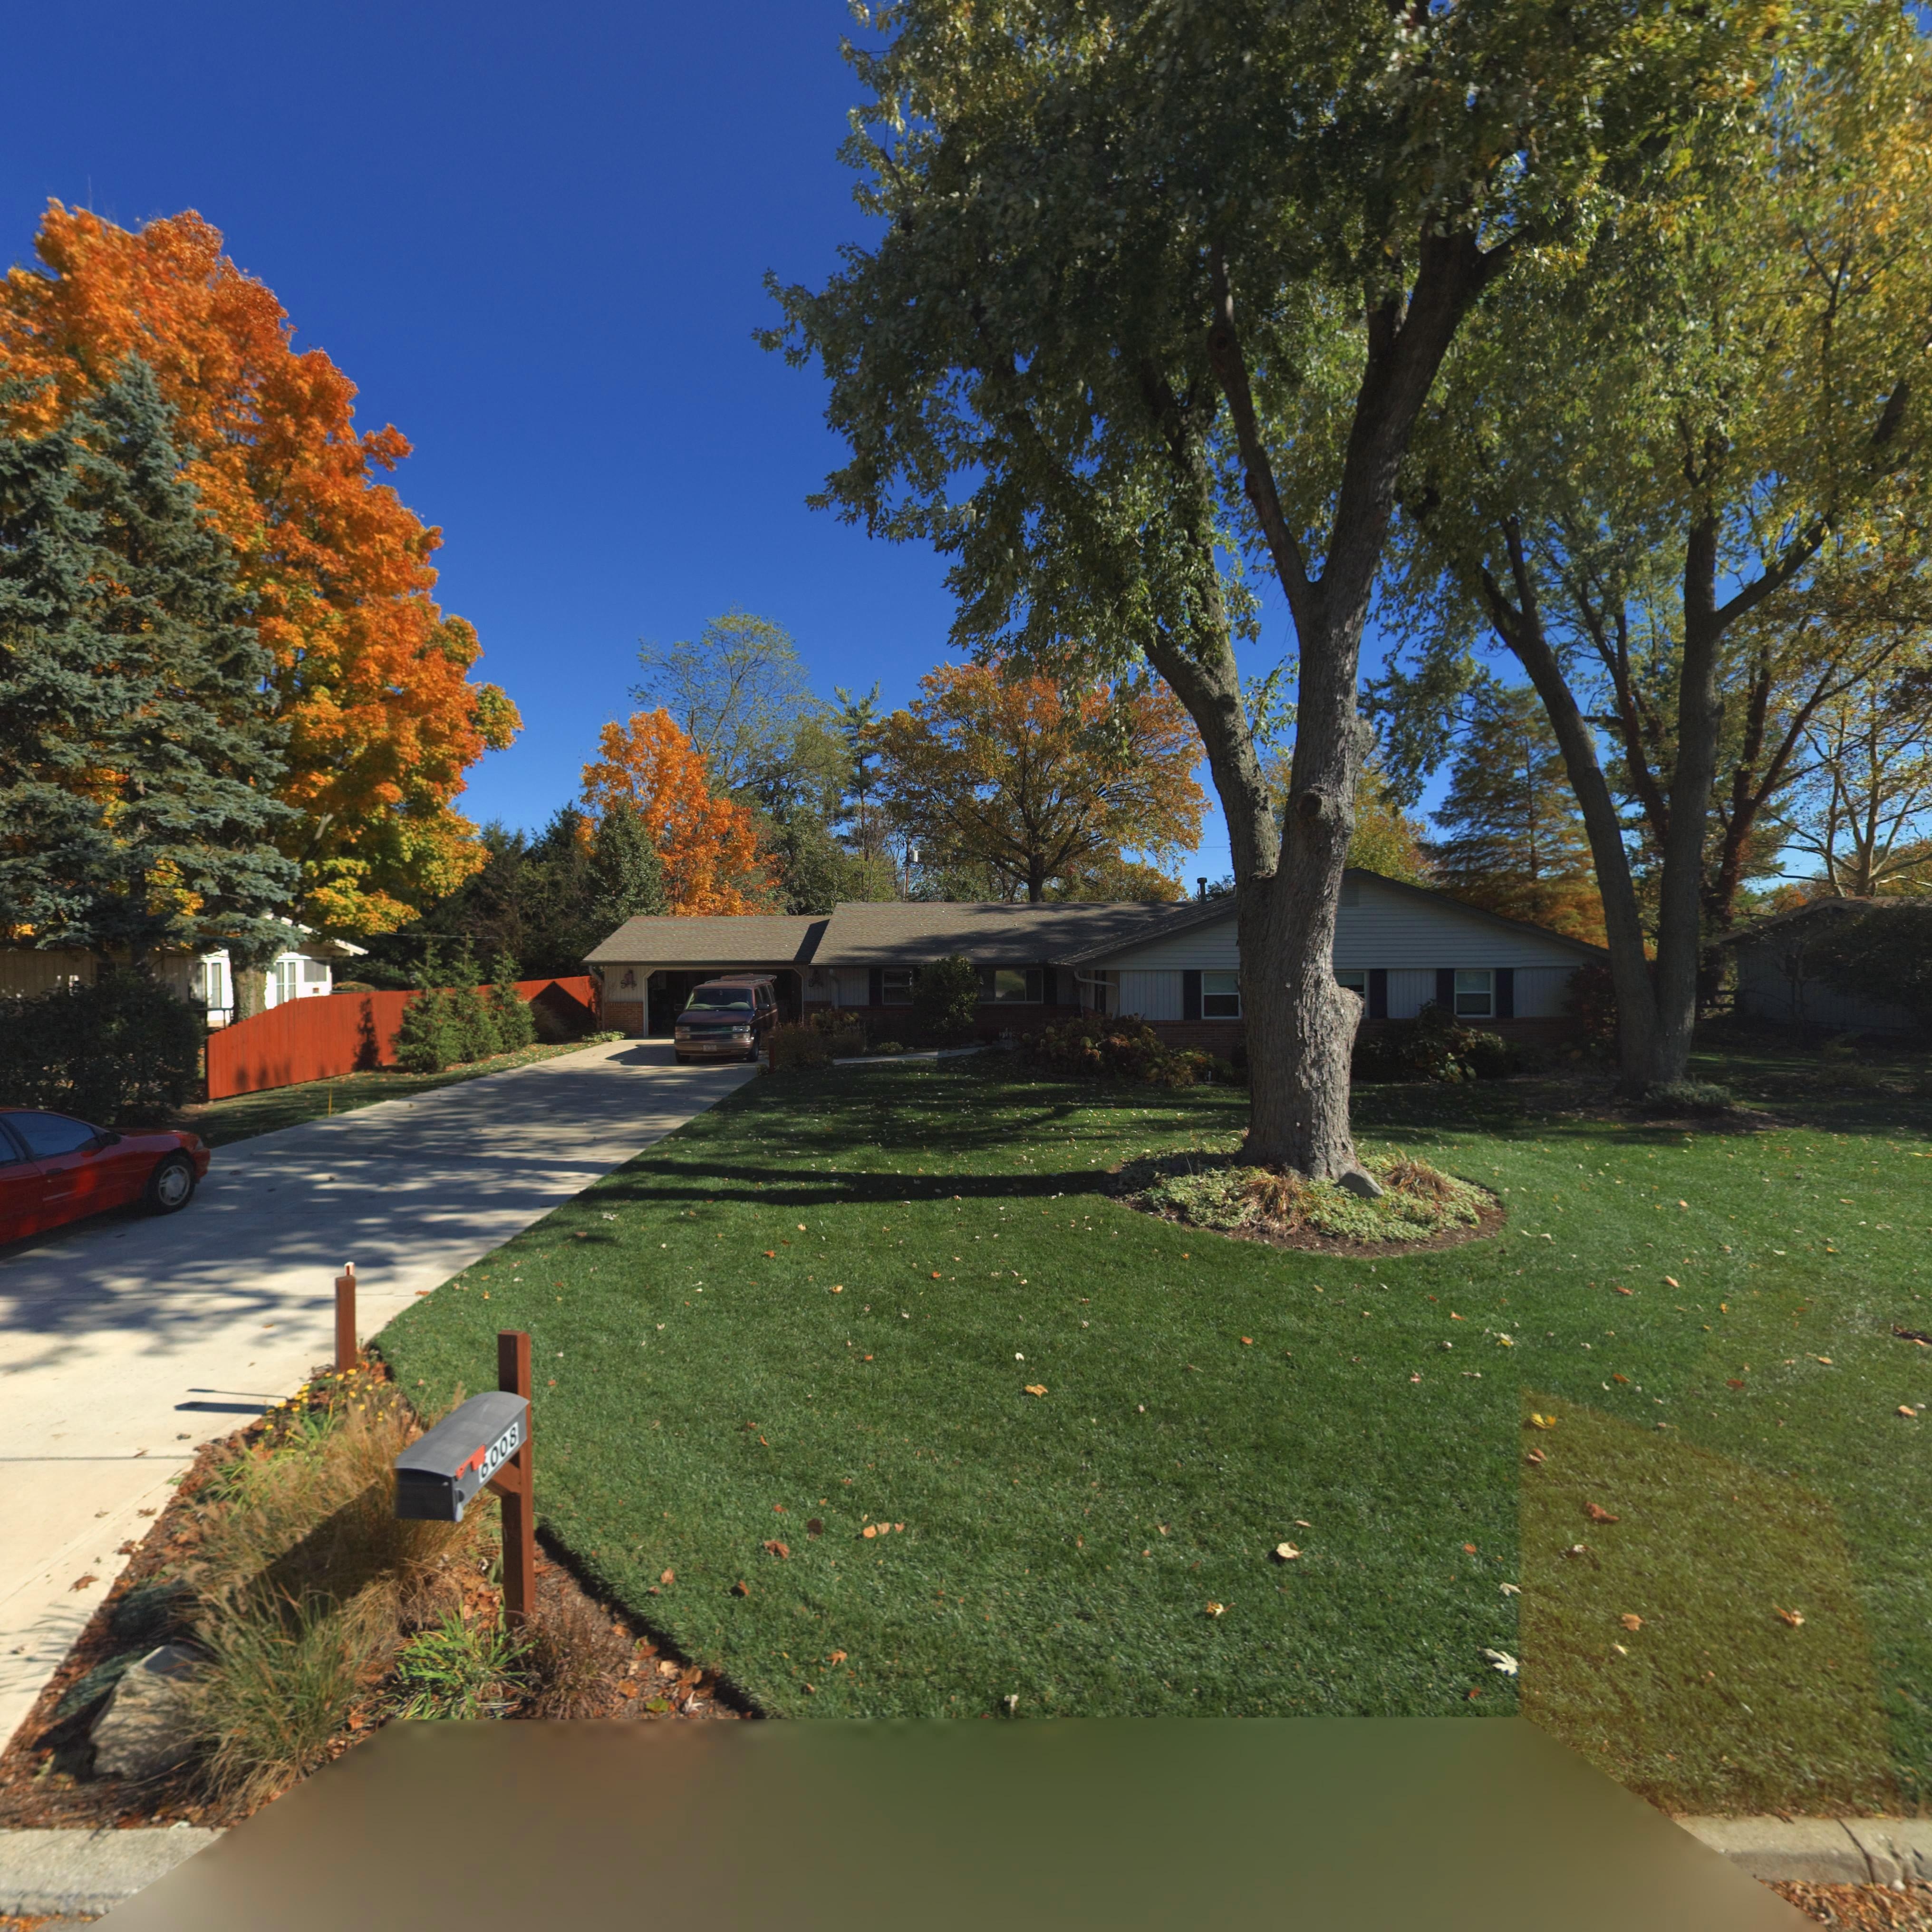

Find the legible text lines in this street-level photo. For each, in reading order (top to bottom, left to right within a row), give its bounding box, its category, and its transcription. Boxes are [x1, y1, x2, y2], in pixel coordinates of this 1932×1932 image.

[480, 1425, 519, 1481] StreetNumber: *008